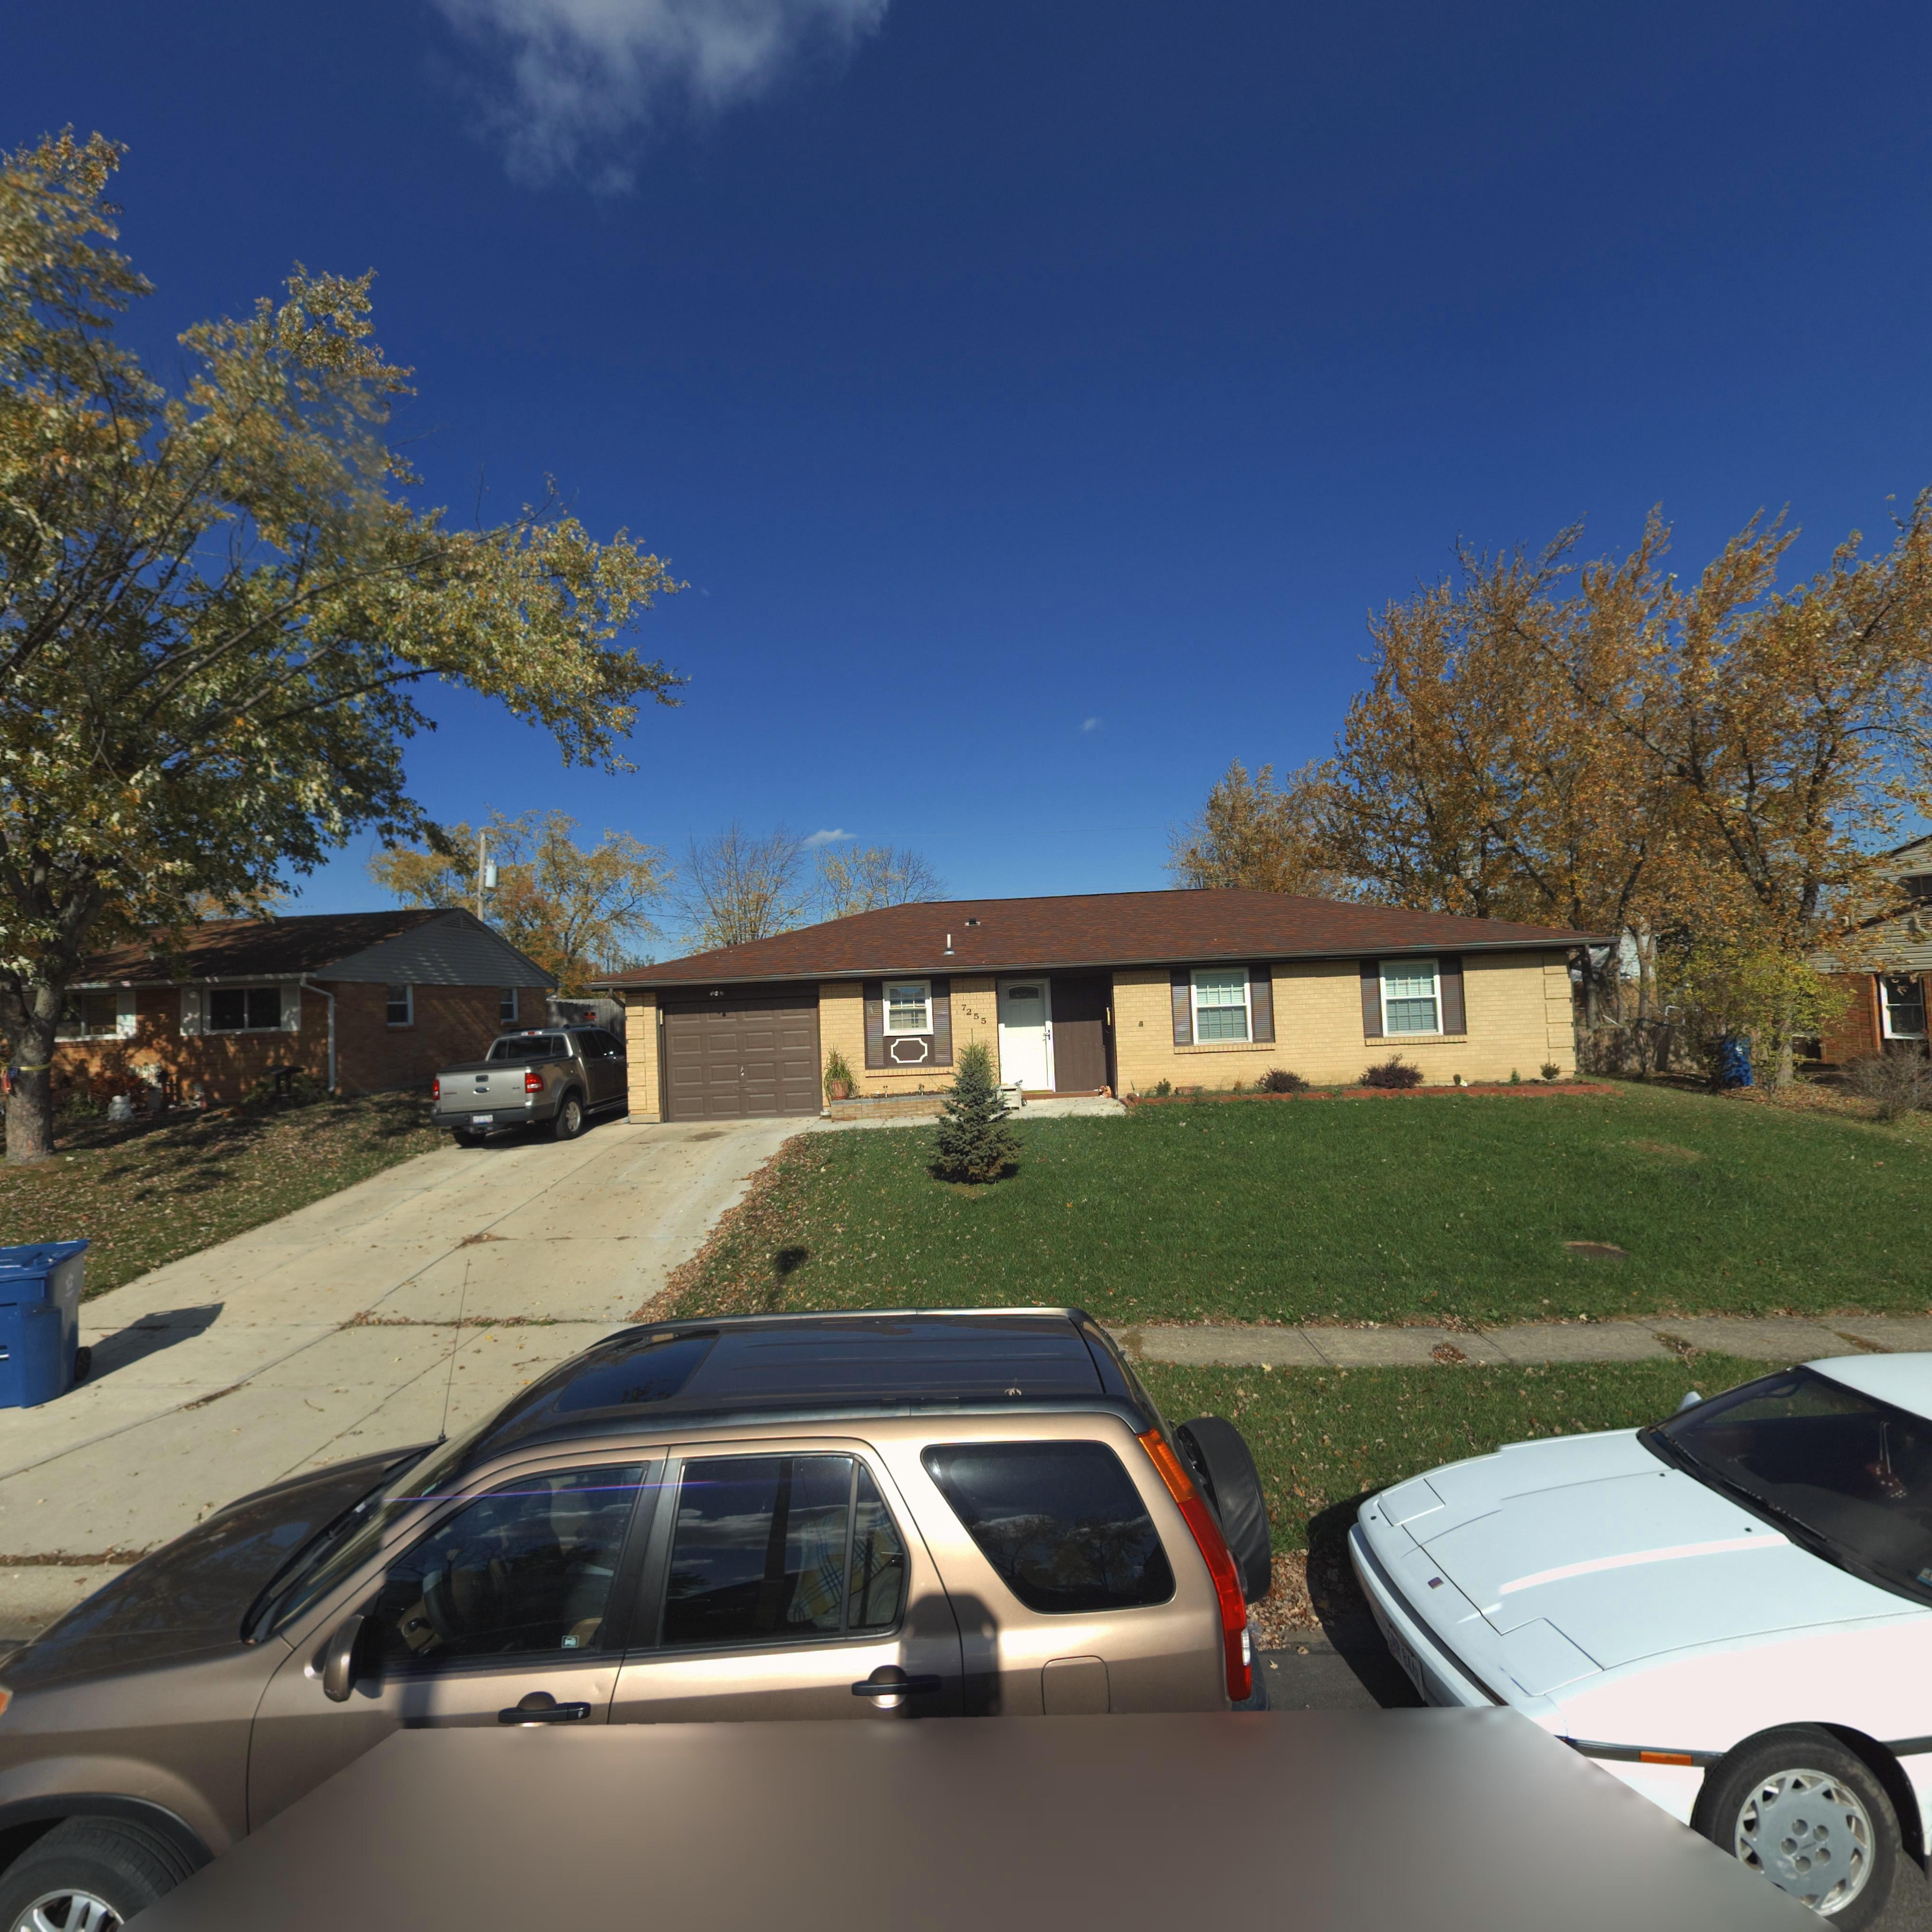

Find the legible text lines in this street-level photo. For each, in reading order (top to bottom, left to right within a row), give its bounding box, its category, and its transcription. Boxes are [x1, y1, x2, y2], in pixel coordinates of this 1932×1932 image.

[961, 1004, 987, 1026] StreetNumber: 7255